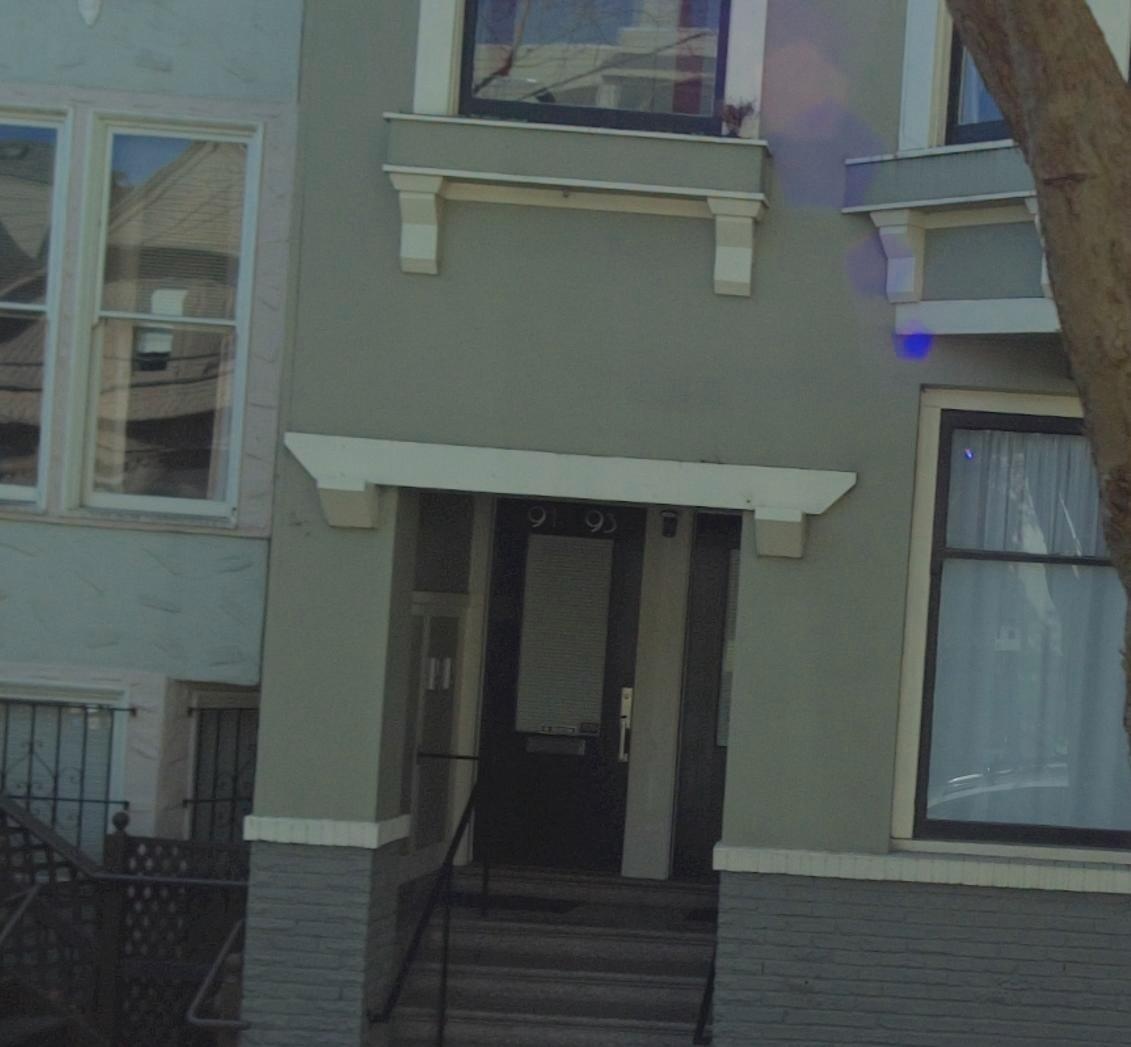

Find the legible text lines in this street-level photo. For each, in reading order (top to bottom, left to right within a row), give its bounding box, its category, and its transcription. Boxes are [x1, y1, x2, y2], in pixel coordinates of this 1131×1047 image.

[527, 504, 560, 529] StreetNumber: 91
[584, 509, 619, 535] StreetNumber: 93